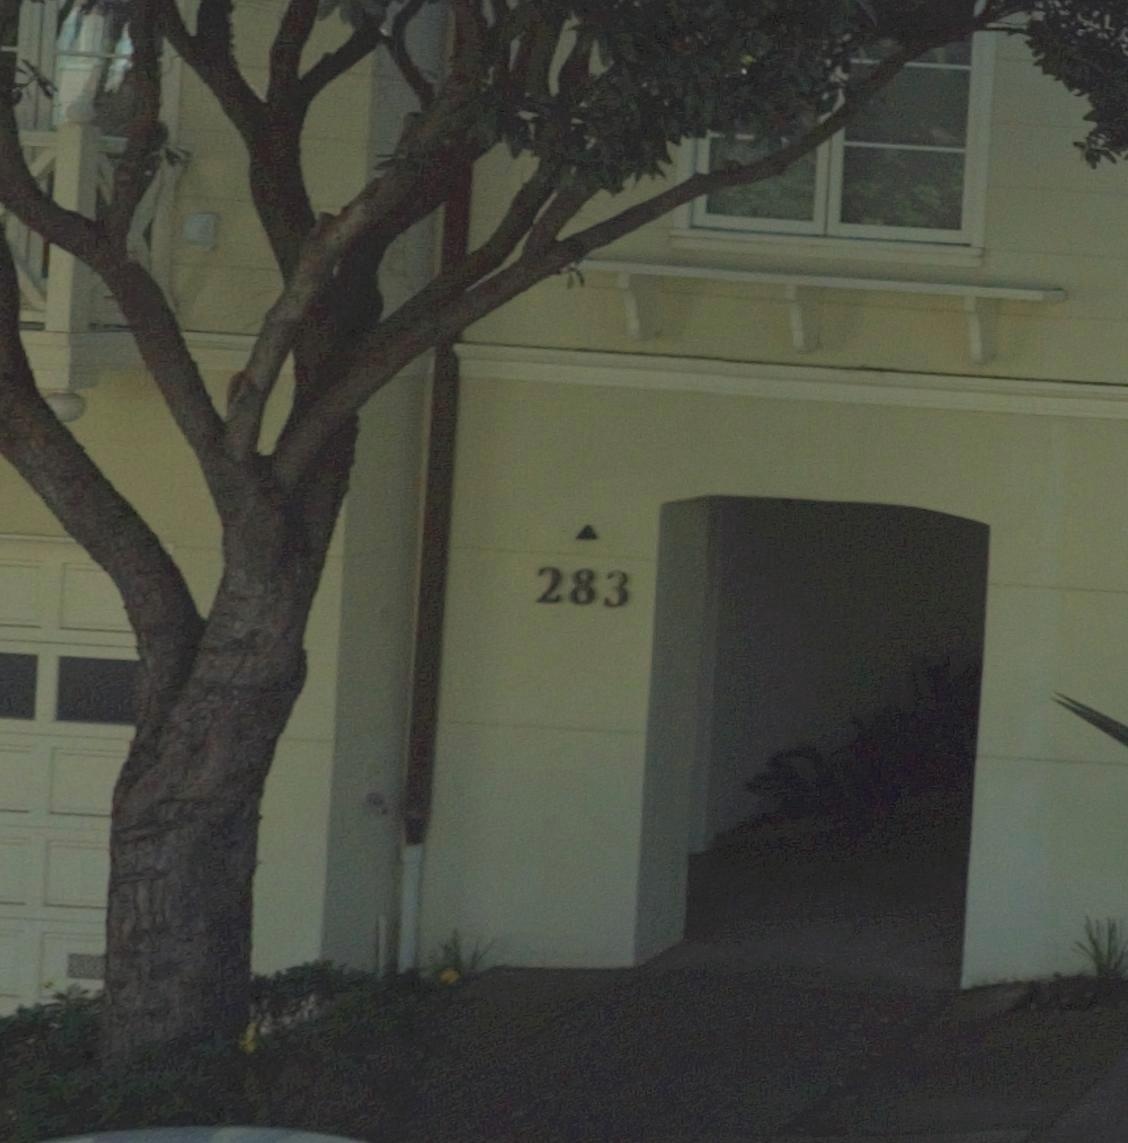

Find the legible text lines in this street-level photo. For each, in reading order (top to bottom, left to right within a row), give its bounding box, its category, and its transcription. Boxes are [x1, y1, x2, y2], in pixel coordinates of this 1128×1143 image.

[533, 565, 632, 608] StreetNumber: 283